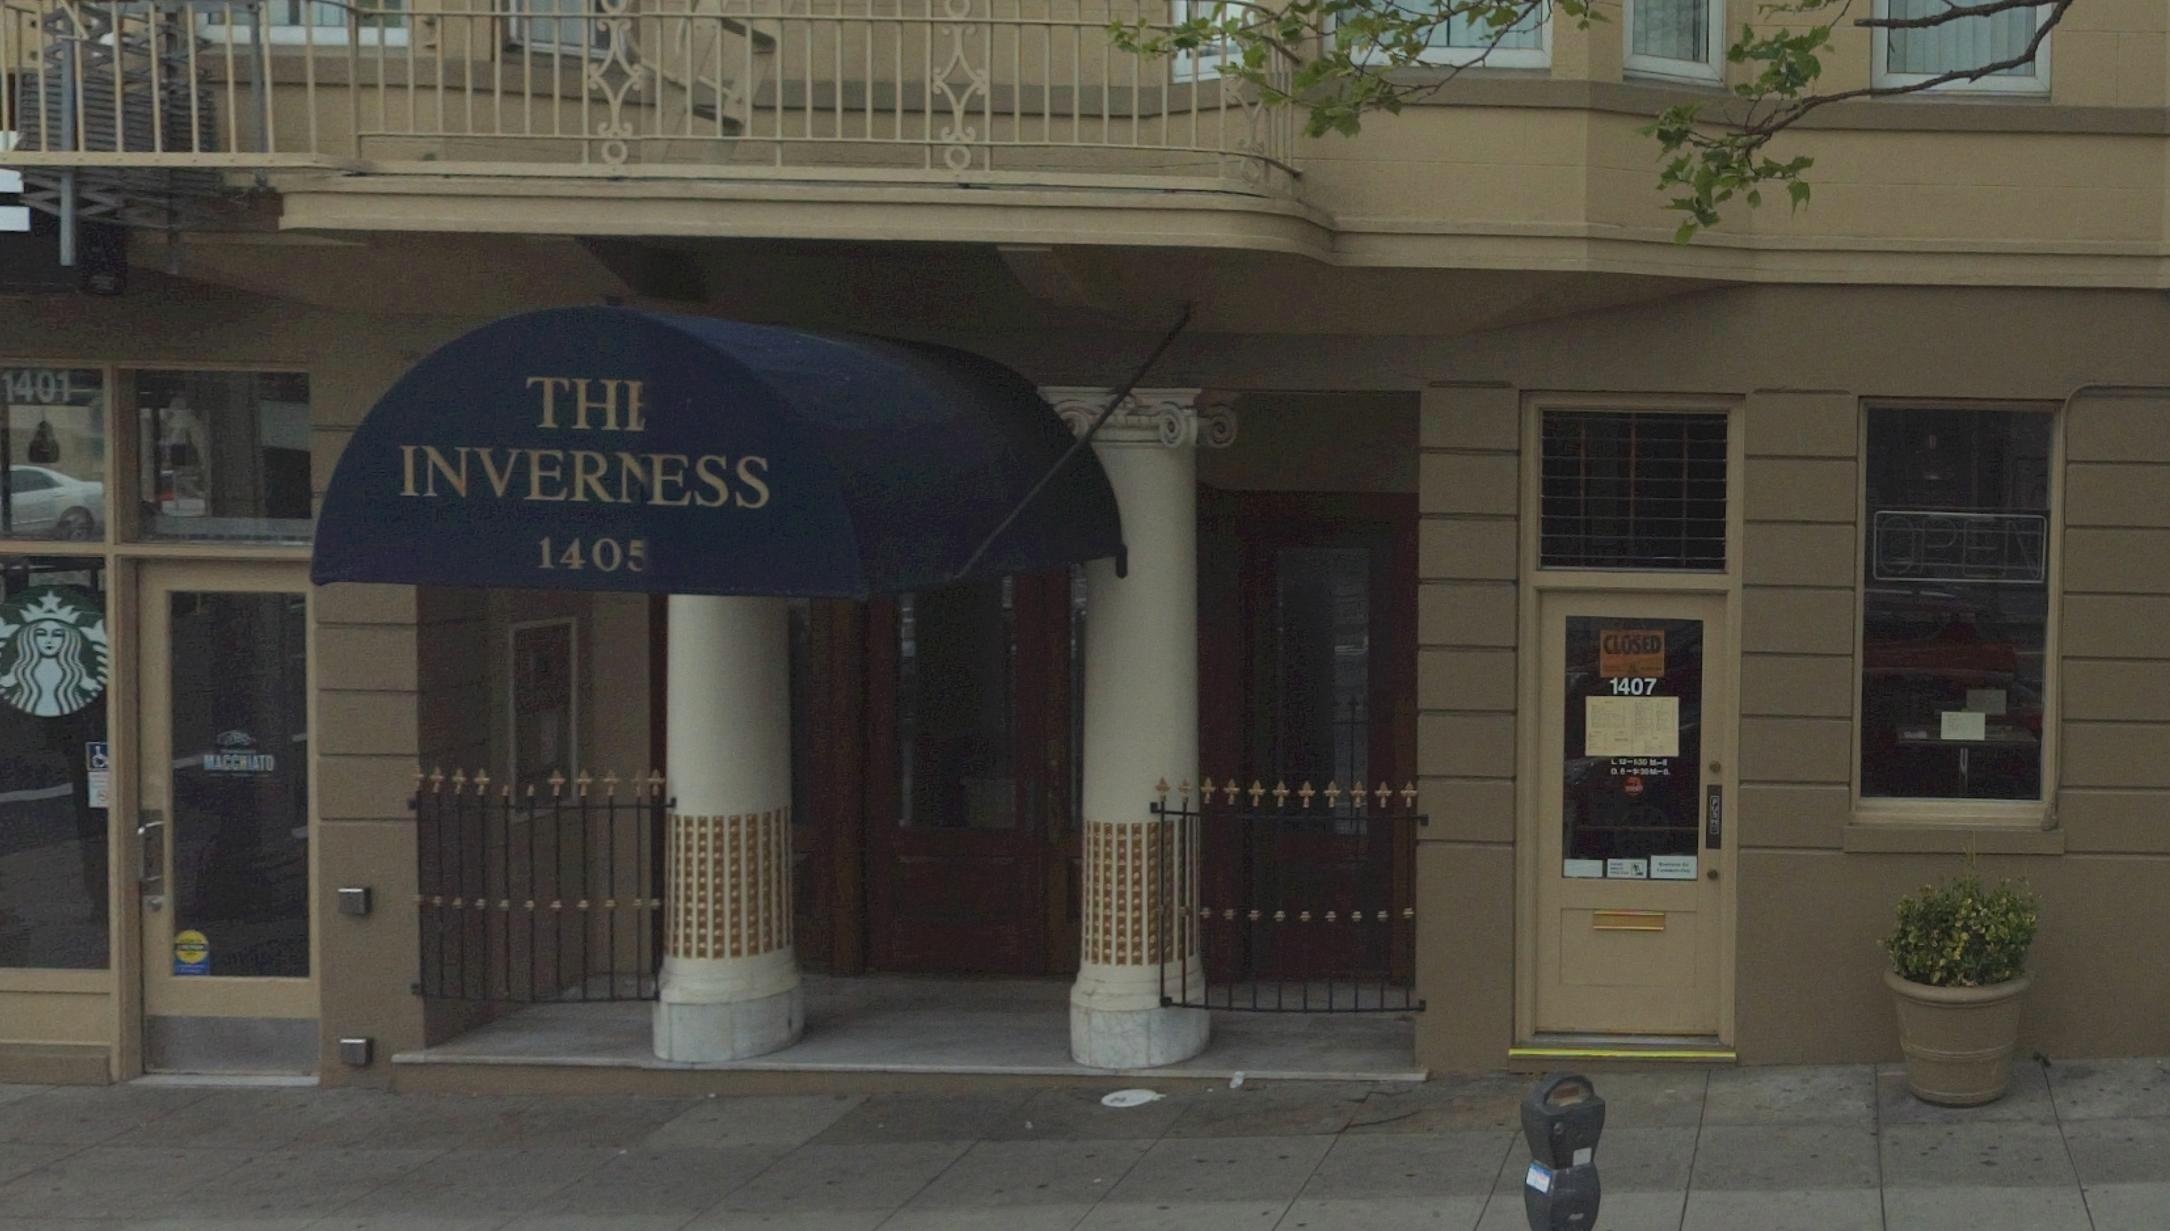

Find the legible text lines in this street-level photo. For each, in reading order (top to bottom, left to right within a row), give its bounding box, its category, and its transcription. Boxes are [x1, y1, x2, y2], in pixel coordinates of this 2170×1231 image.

[0, 366, 72, 403] StreetNumber: 1401
[520, 370, 650, 435] BusinessName: TH*
[394, 439, 771, 510] BusinessName: INVERNESS
[534, 533, 653, 573] StreetNumber: 1405
[1876, 512, 2046, 581] None: OPEN
[1600, 632, 1661, 655] None: CLOSED
[1609, 674, 1659, 698] StreetNumber: 1407
[200, 751, 275, 772] None: MACCHIATO
[1709, 796, 1720, 827] None: PUSH